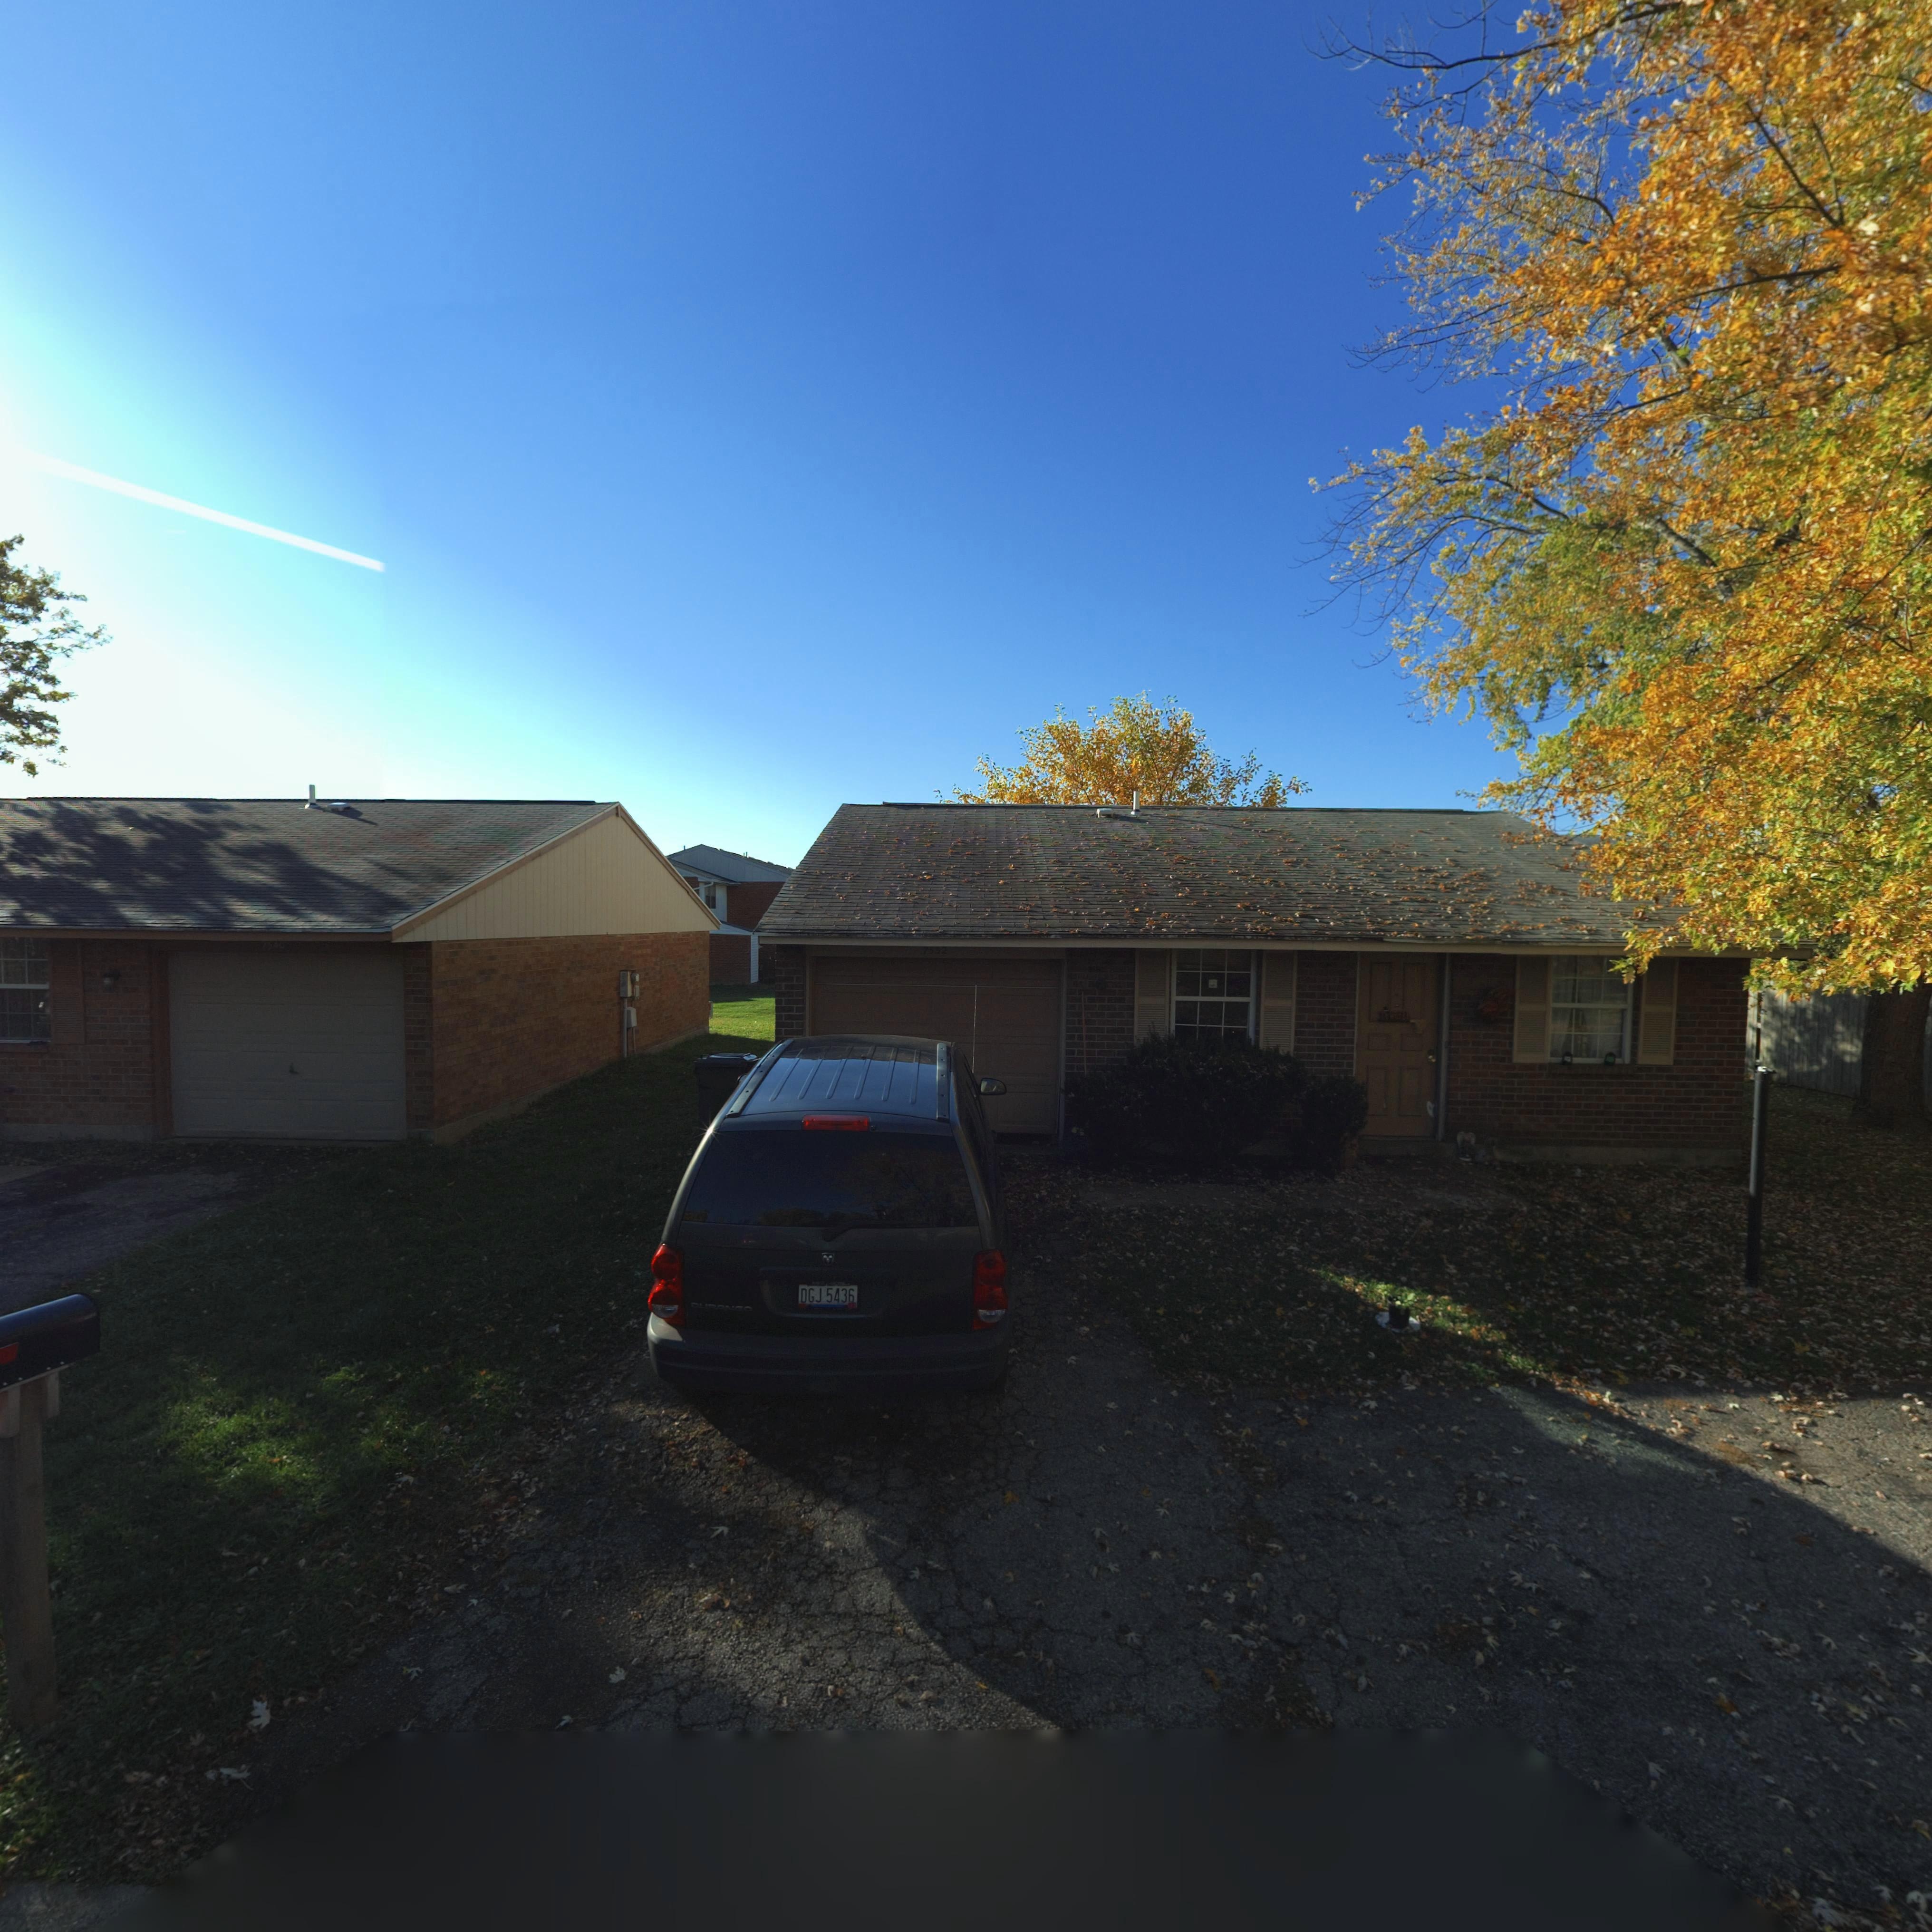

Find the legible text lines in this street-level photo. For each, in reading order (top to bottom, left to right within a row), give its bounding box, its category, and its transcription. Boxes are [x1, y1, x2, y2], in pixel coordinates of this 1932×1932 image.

[261, 940, 287, 953] StreetNumber: *54*
[921, 946, 948, 956] StreetNumber: 75*2
[800, 1286, 857, 1305] None: DGJ 5436
[689, 1301, 753, 1314] None: DURANGO